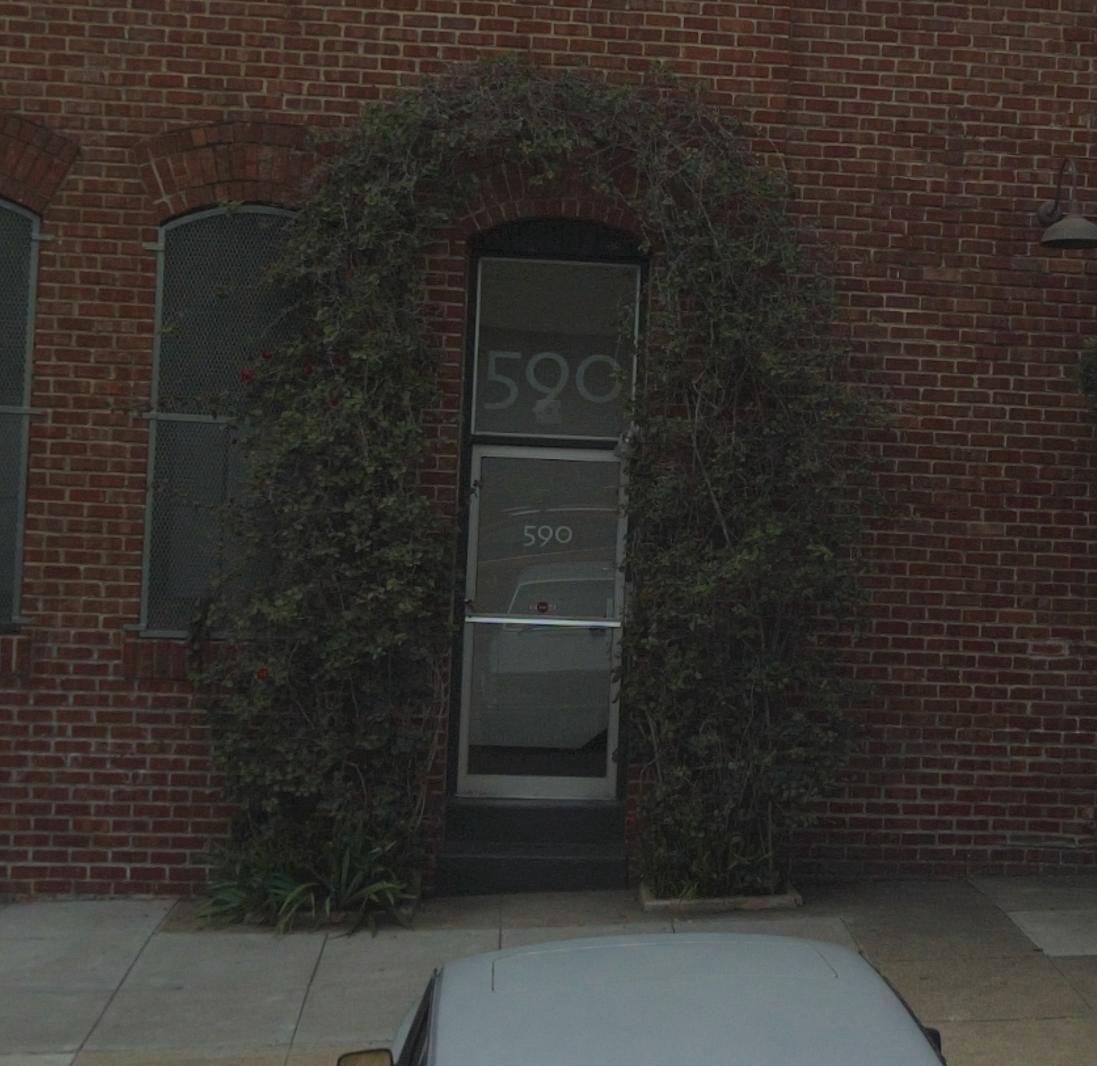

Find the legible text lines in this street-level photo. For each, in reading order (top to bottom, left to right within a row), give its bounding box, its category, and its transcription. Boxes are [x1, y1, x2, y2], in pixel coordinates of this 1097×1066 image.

[482, 347, 626, 416] StreetNumber: 590
[521, 524, 574, 549] StreetNumber: 590